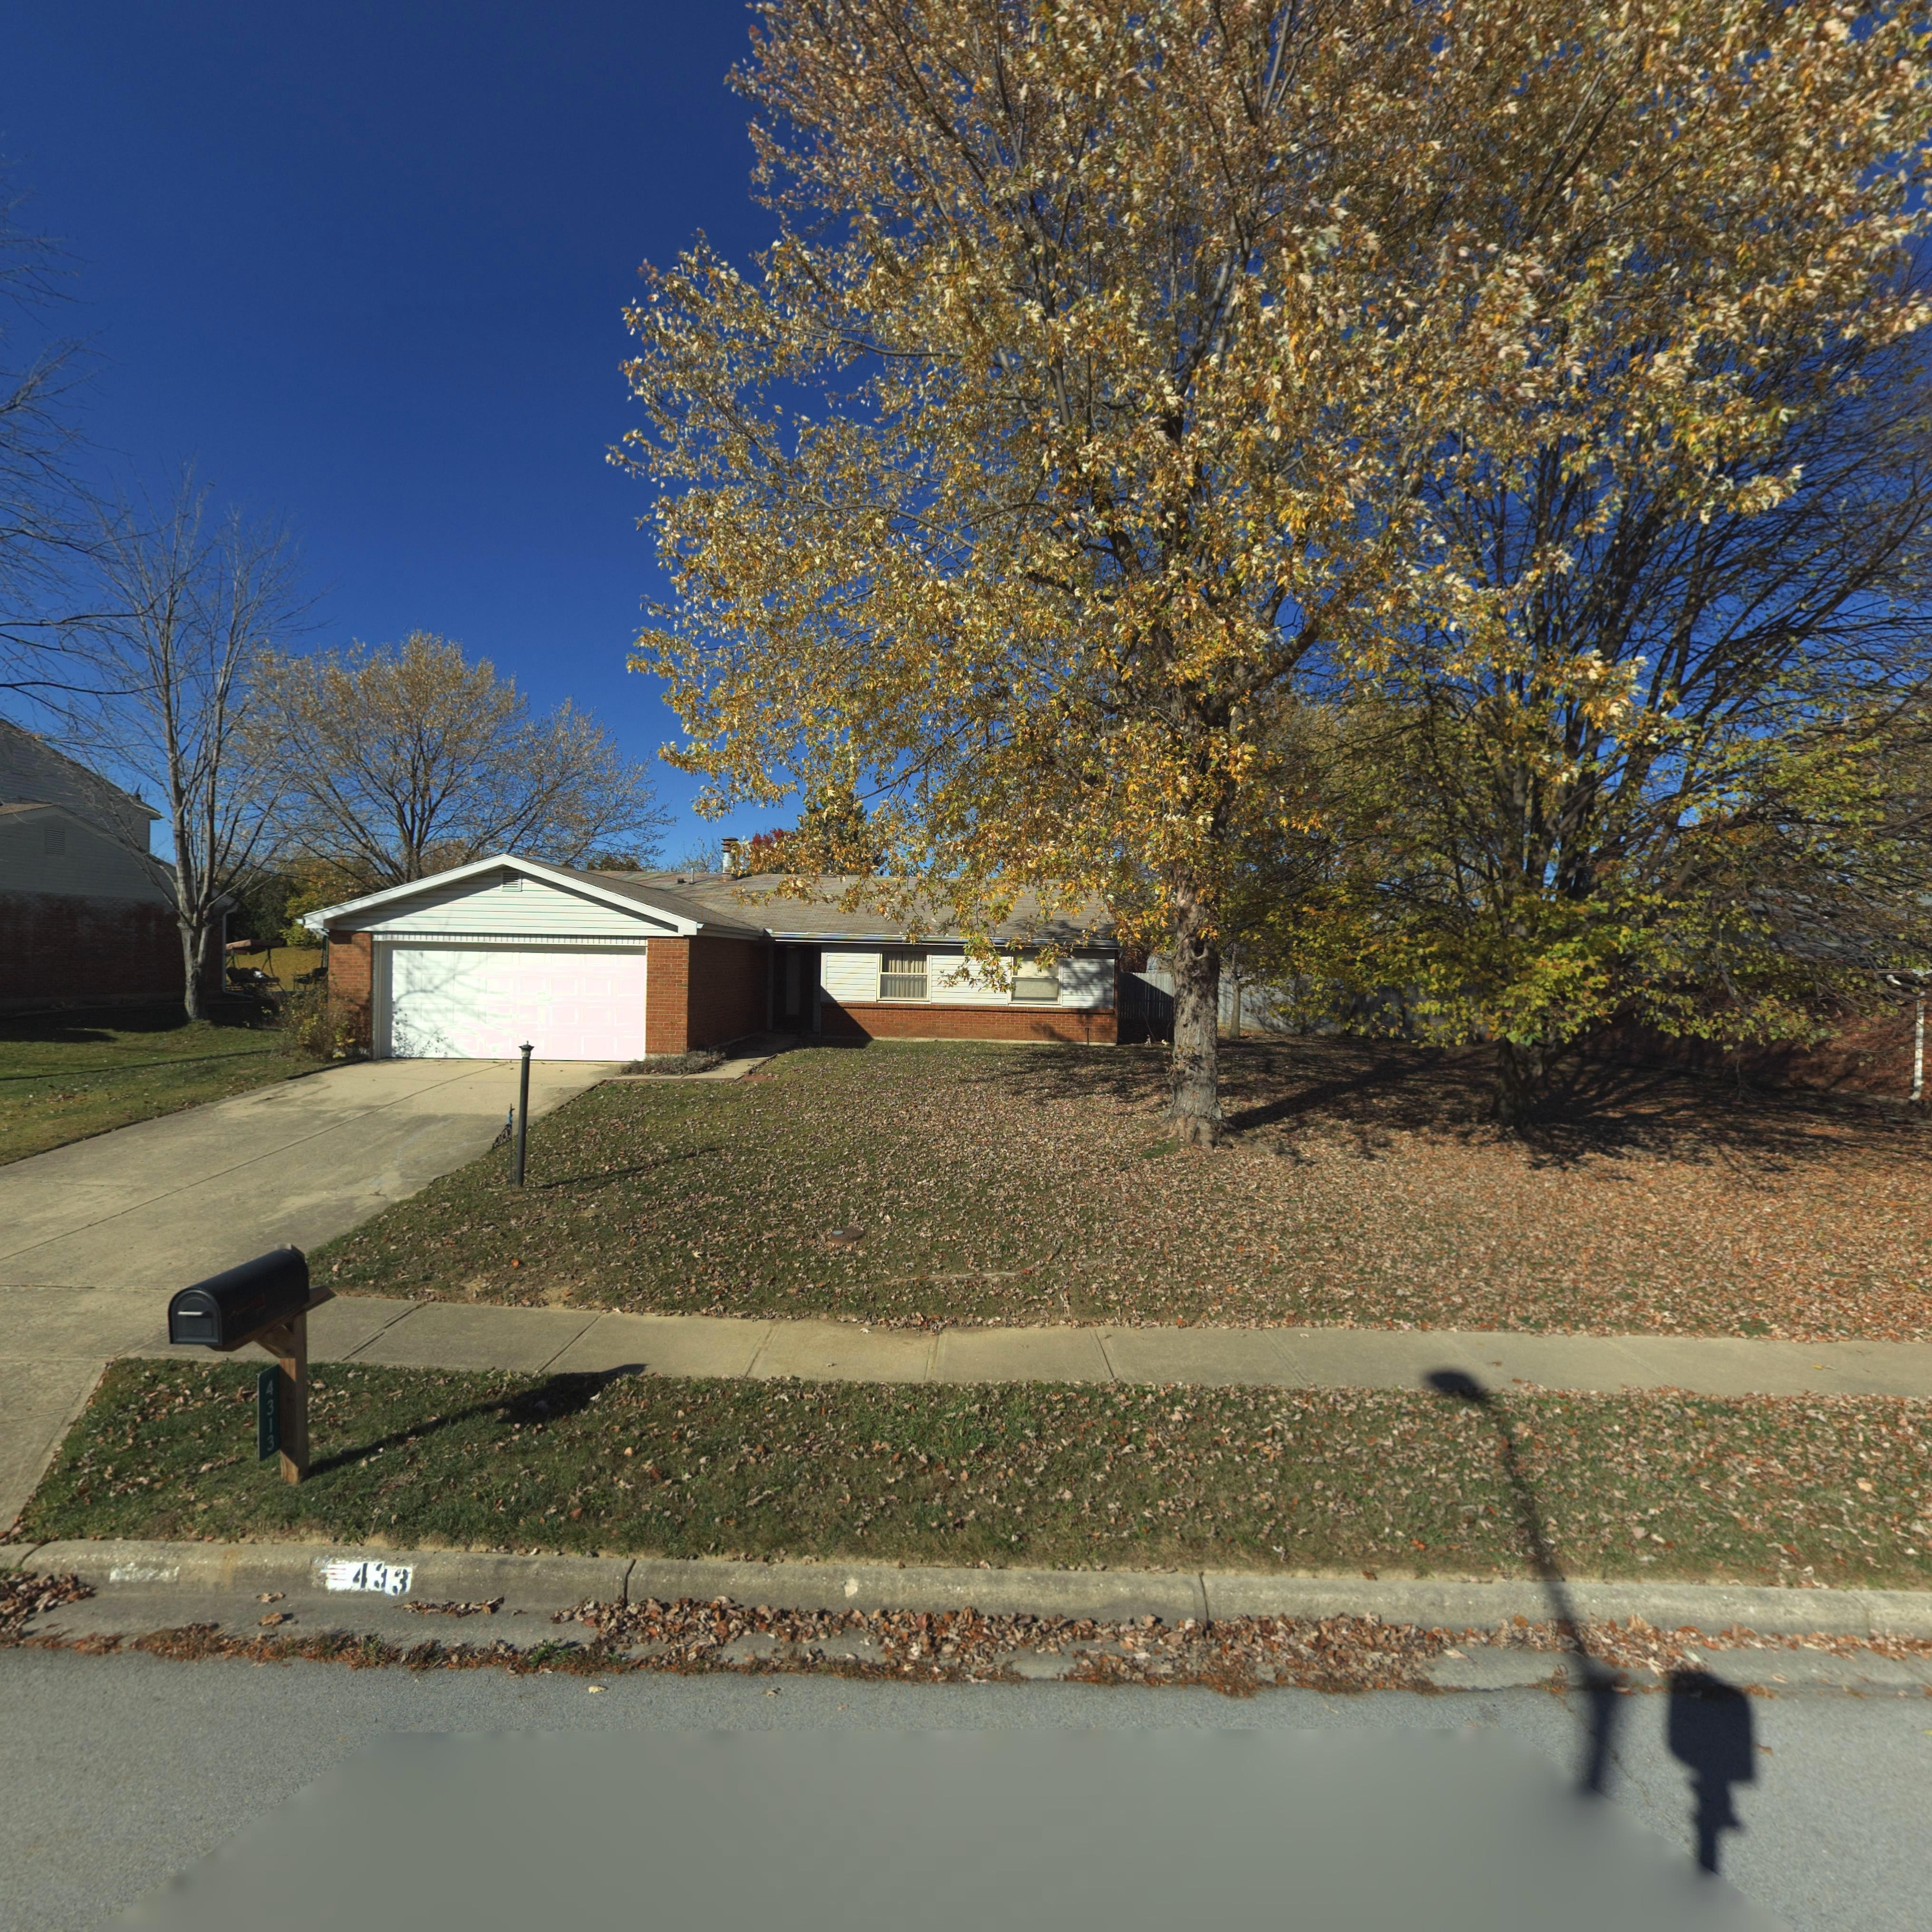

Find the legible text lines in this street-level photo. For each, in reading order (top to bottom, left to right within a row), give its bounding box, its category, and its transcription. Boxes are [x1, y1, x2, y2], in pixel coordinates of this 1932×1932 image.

[265, 1377, 275, 1452] StreetNumber: 4313
[350, 1561, 412, 1598] StreetNumber: 4*3